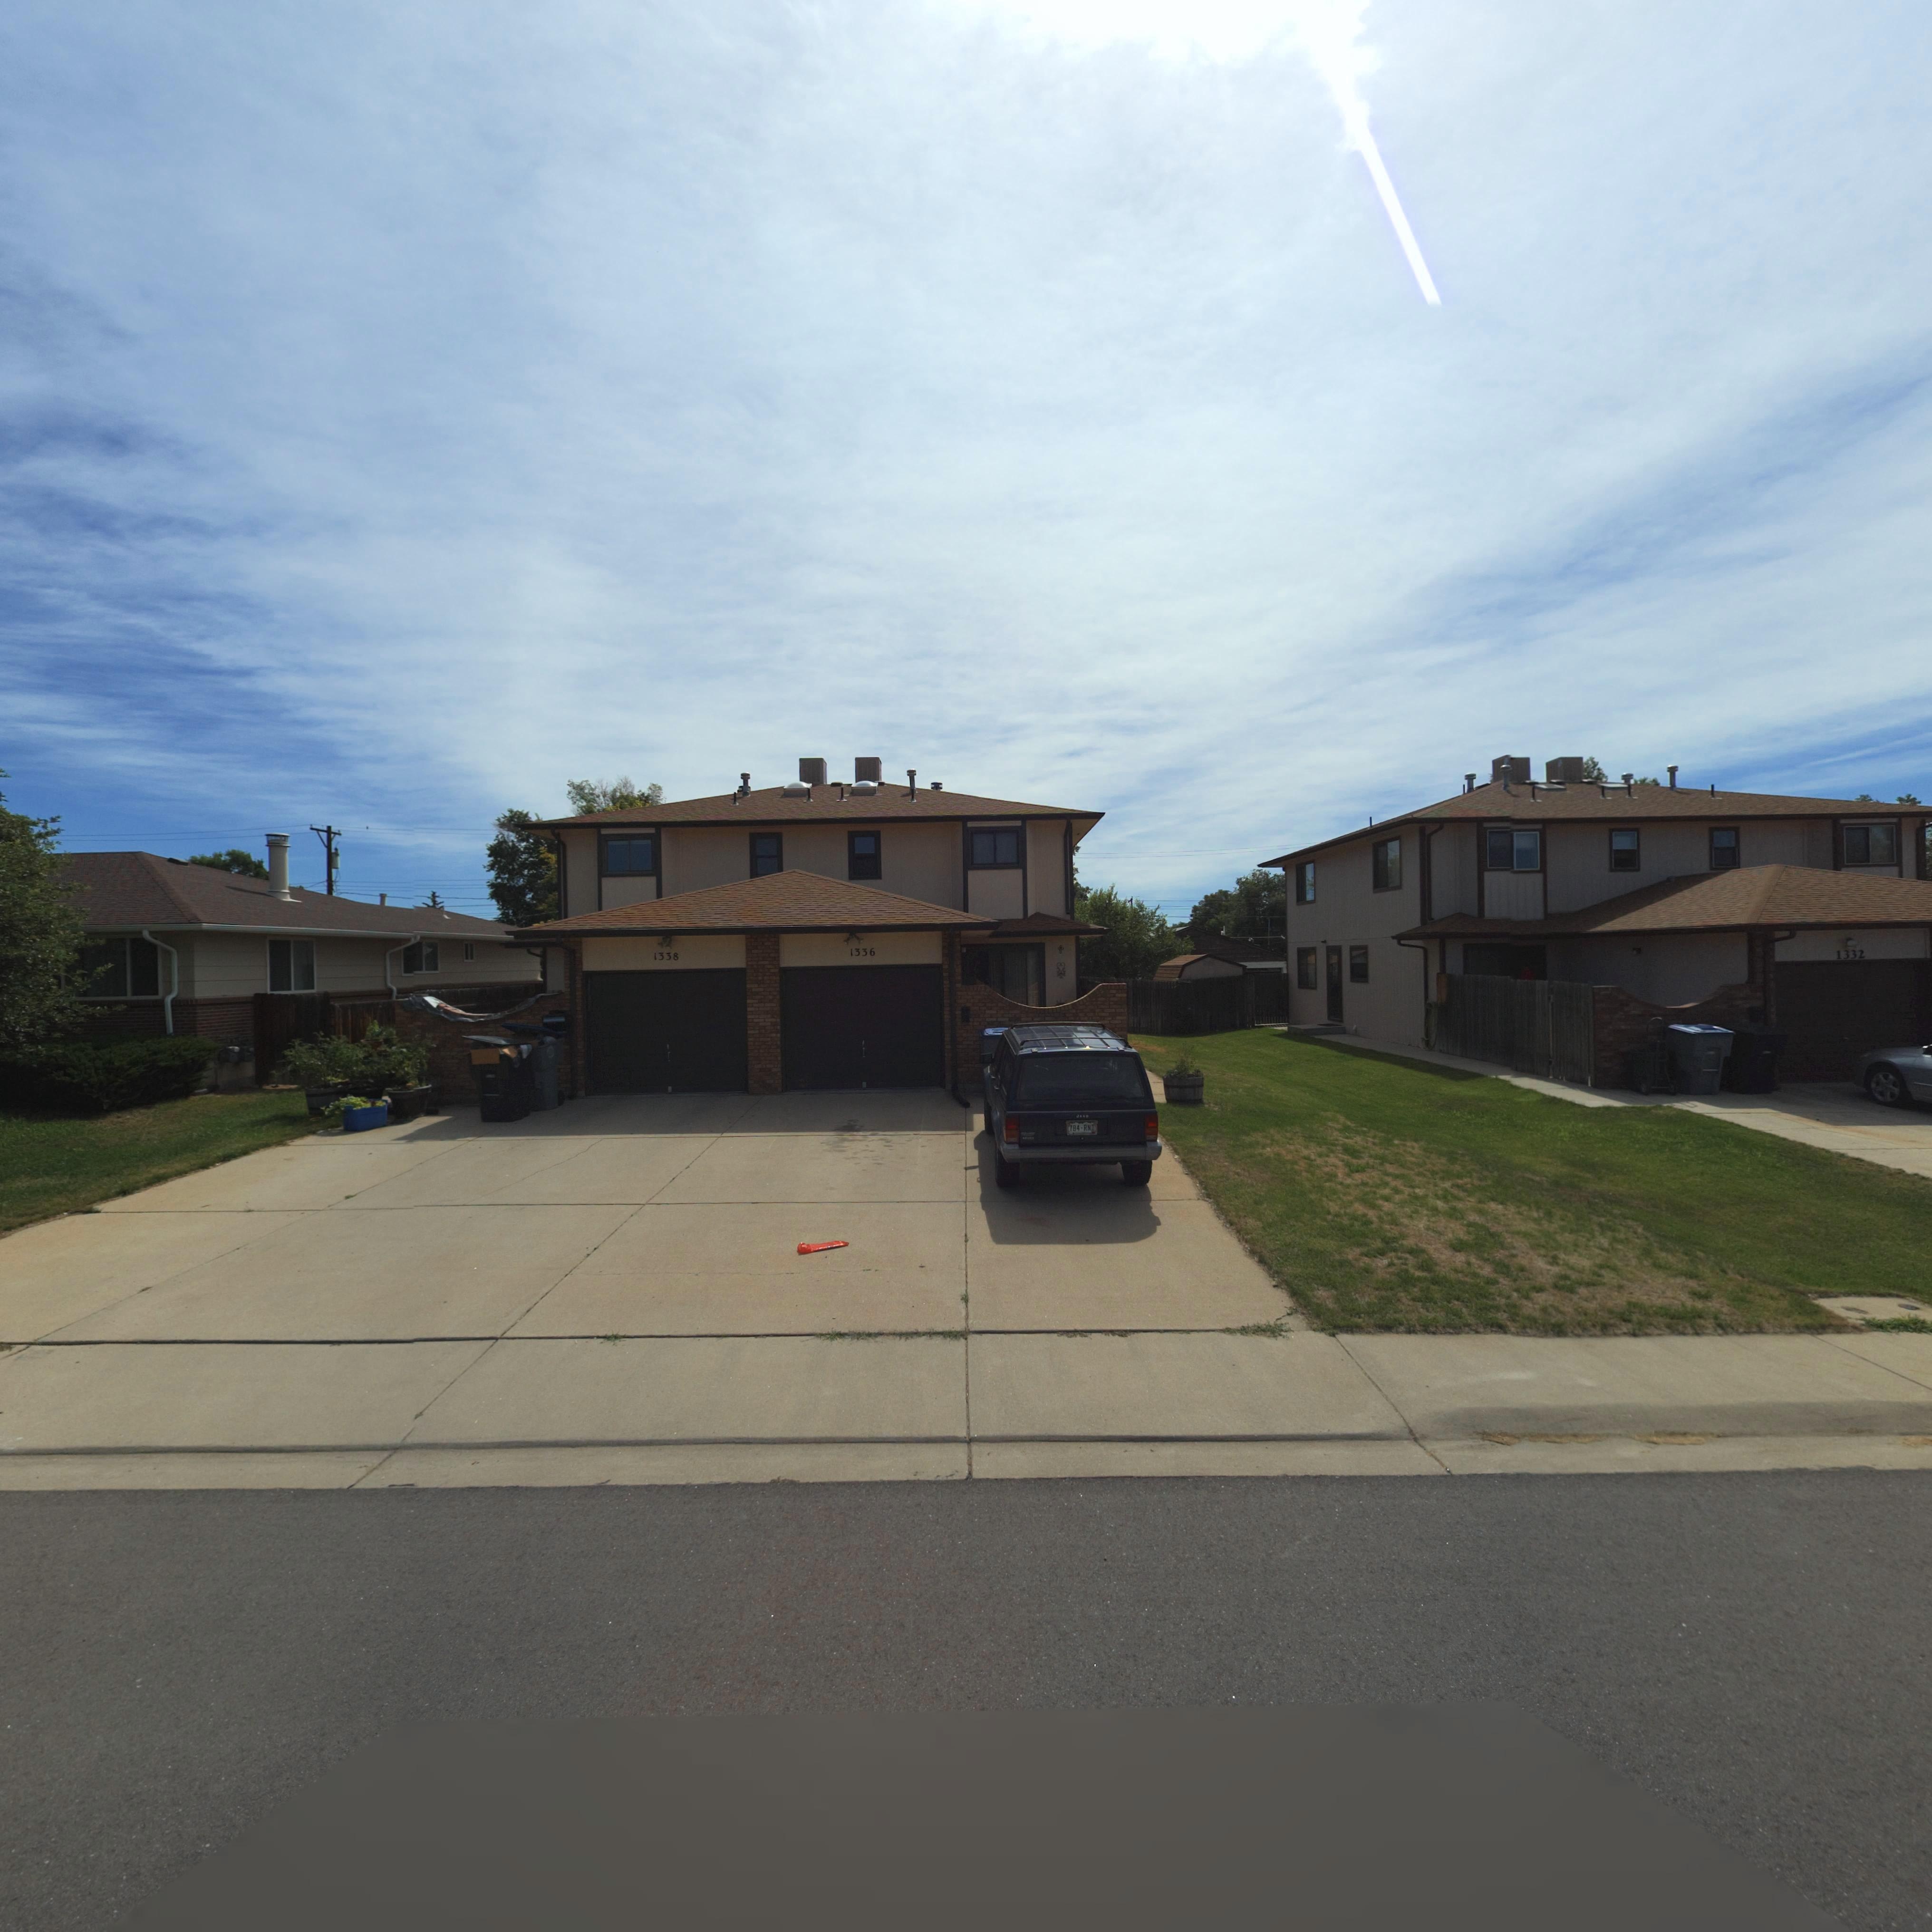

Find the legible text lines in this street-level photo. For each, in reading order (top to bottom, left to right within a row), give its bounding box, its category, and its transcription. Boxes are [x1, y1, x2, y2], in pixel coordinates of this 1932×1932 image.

[653, 952, 678, 961] StreetNumber: 1338
[850, 947, 876, 956] StreetNumber: 1336
[1835, 949, 1864, 959] StreetNumber: 1332